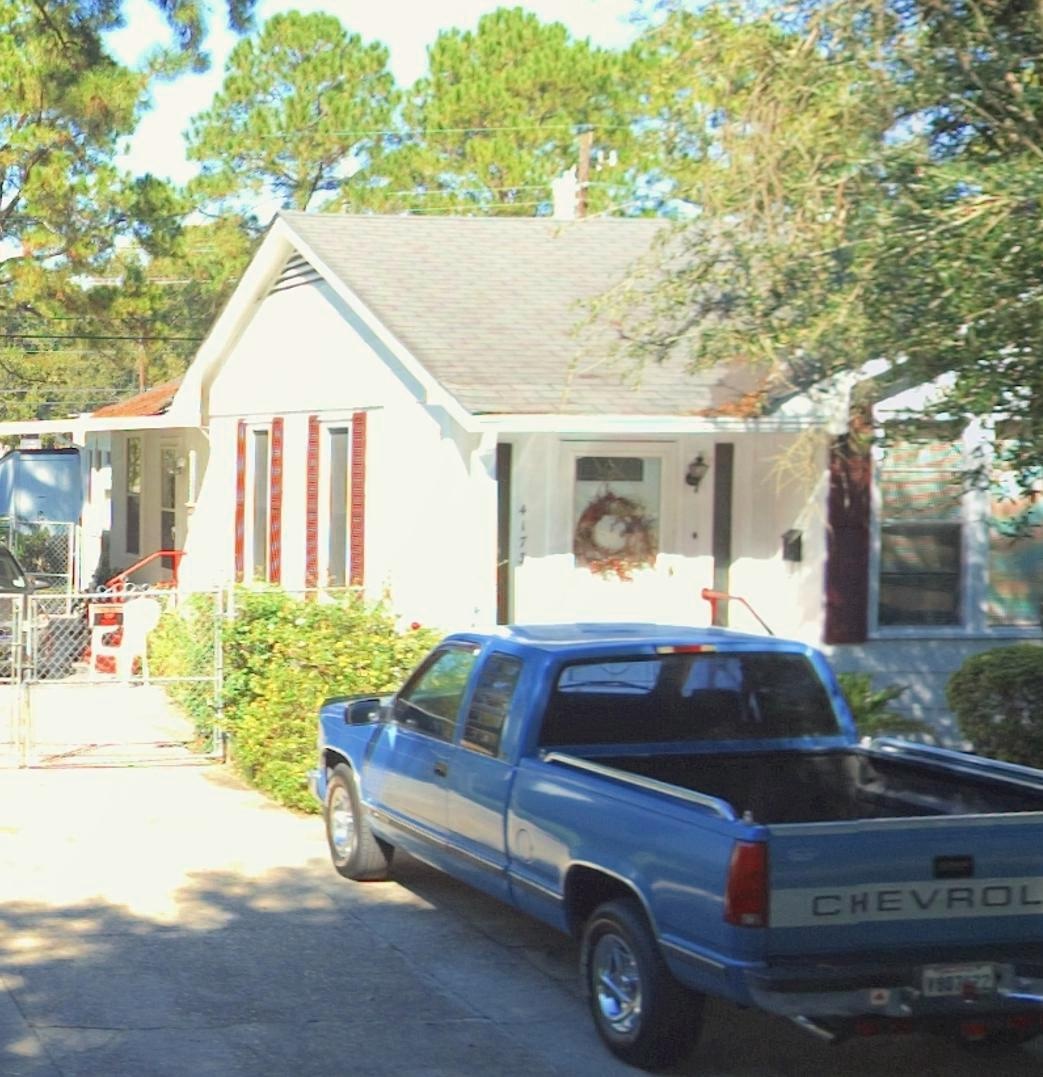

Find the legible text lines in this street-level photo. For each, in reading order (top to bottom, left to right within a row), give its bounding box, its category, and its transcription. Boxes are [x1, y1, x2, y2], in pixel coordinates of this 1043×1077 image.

[516, 501, 529, 566] StreetNumber: 4173
[809, 884, 1043, 918] None: CHEVROL
[926, 972, 994, 996] None: V9*2**2